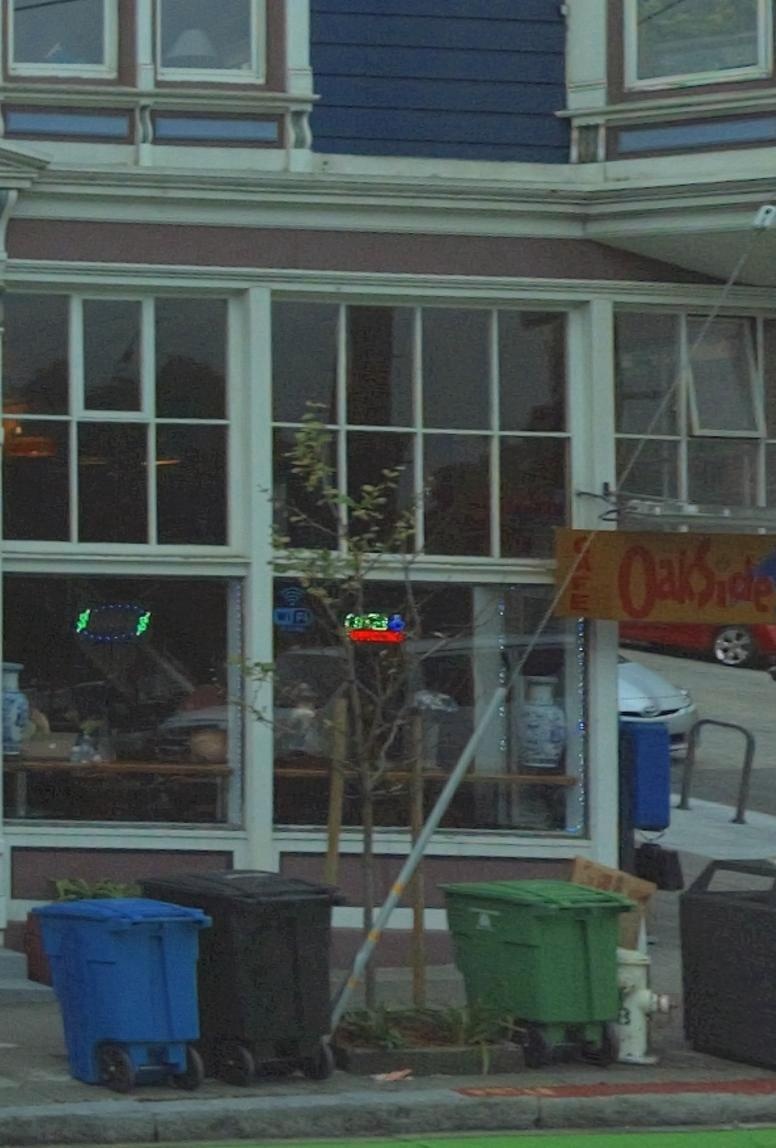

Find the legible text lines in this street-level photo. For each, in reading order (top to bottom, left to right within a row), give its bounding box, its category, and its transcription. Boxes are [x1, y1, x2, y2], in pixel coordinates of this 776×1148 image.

[276, 609, 310, 625] None: Wi-Fi
[569, 534, 593, 613] BusinessName: *AFE
[615, 536, 774, 622] BusinessName: Oakside